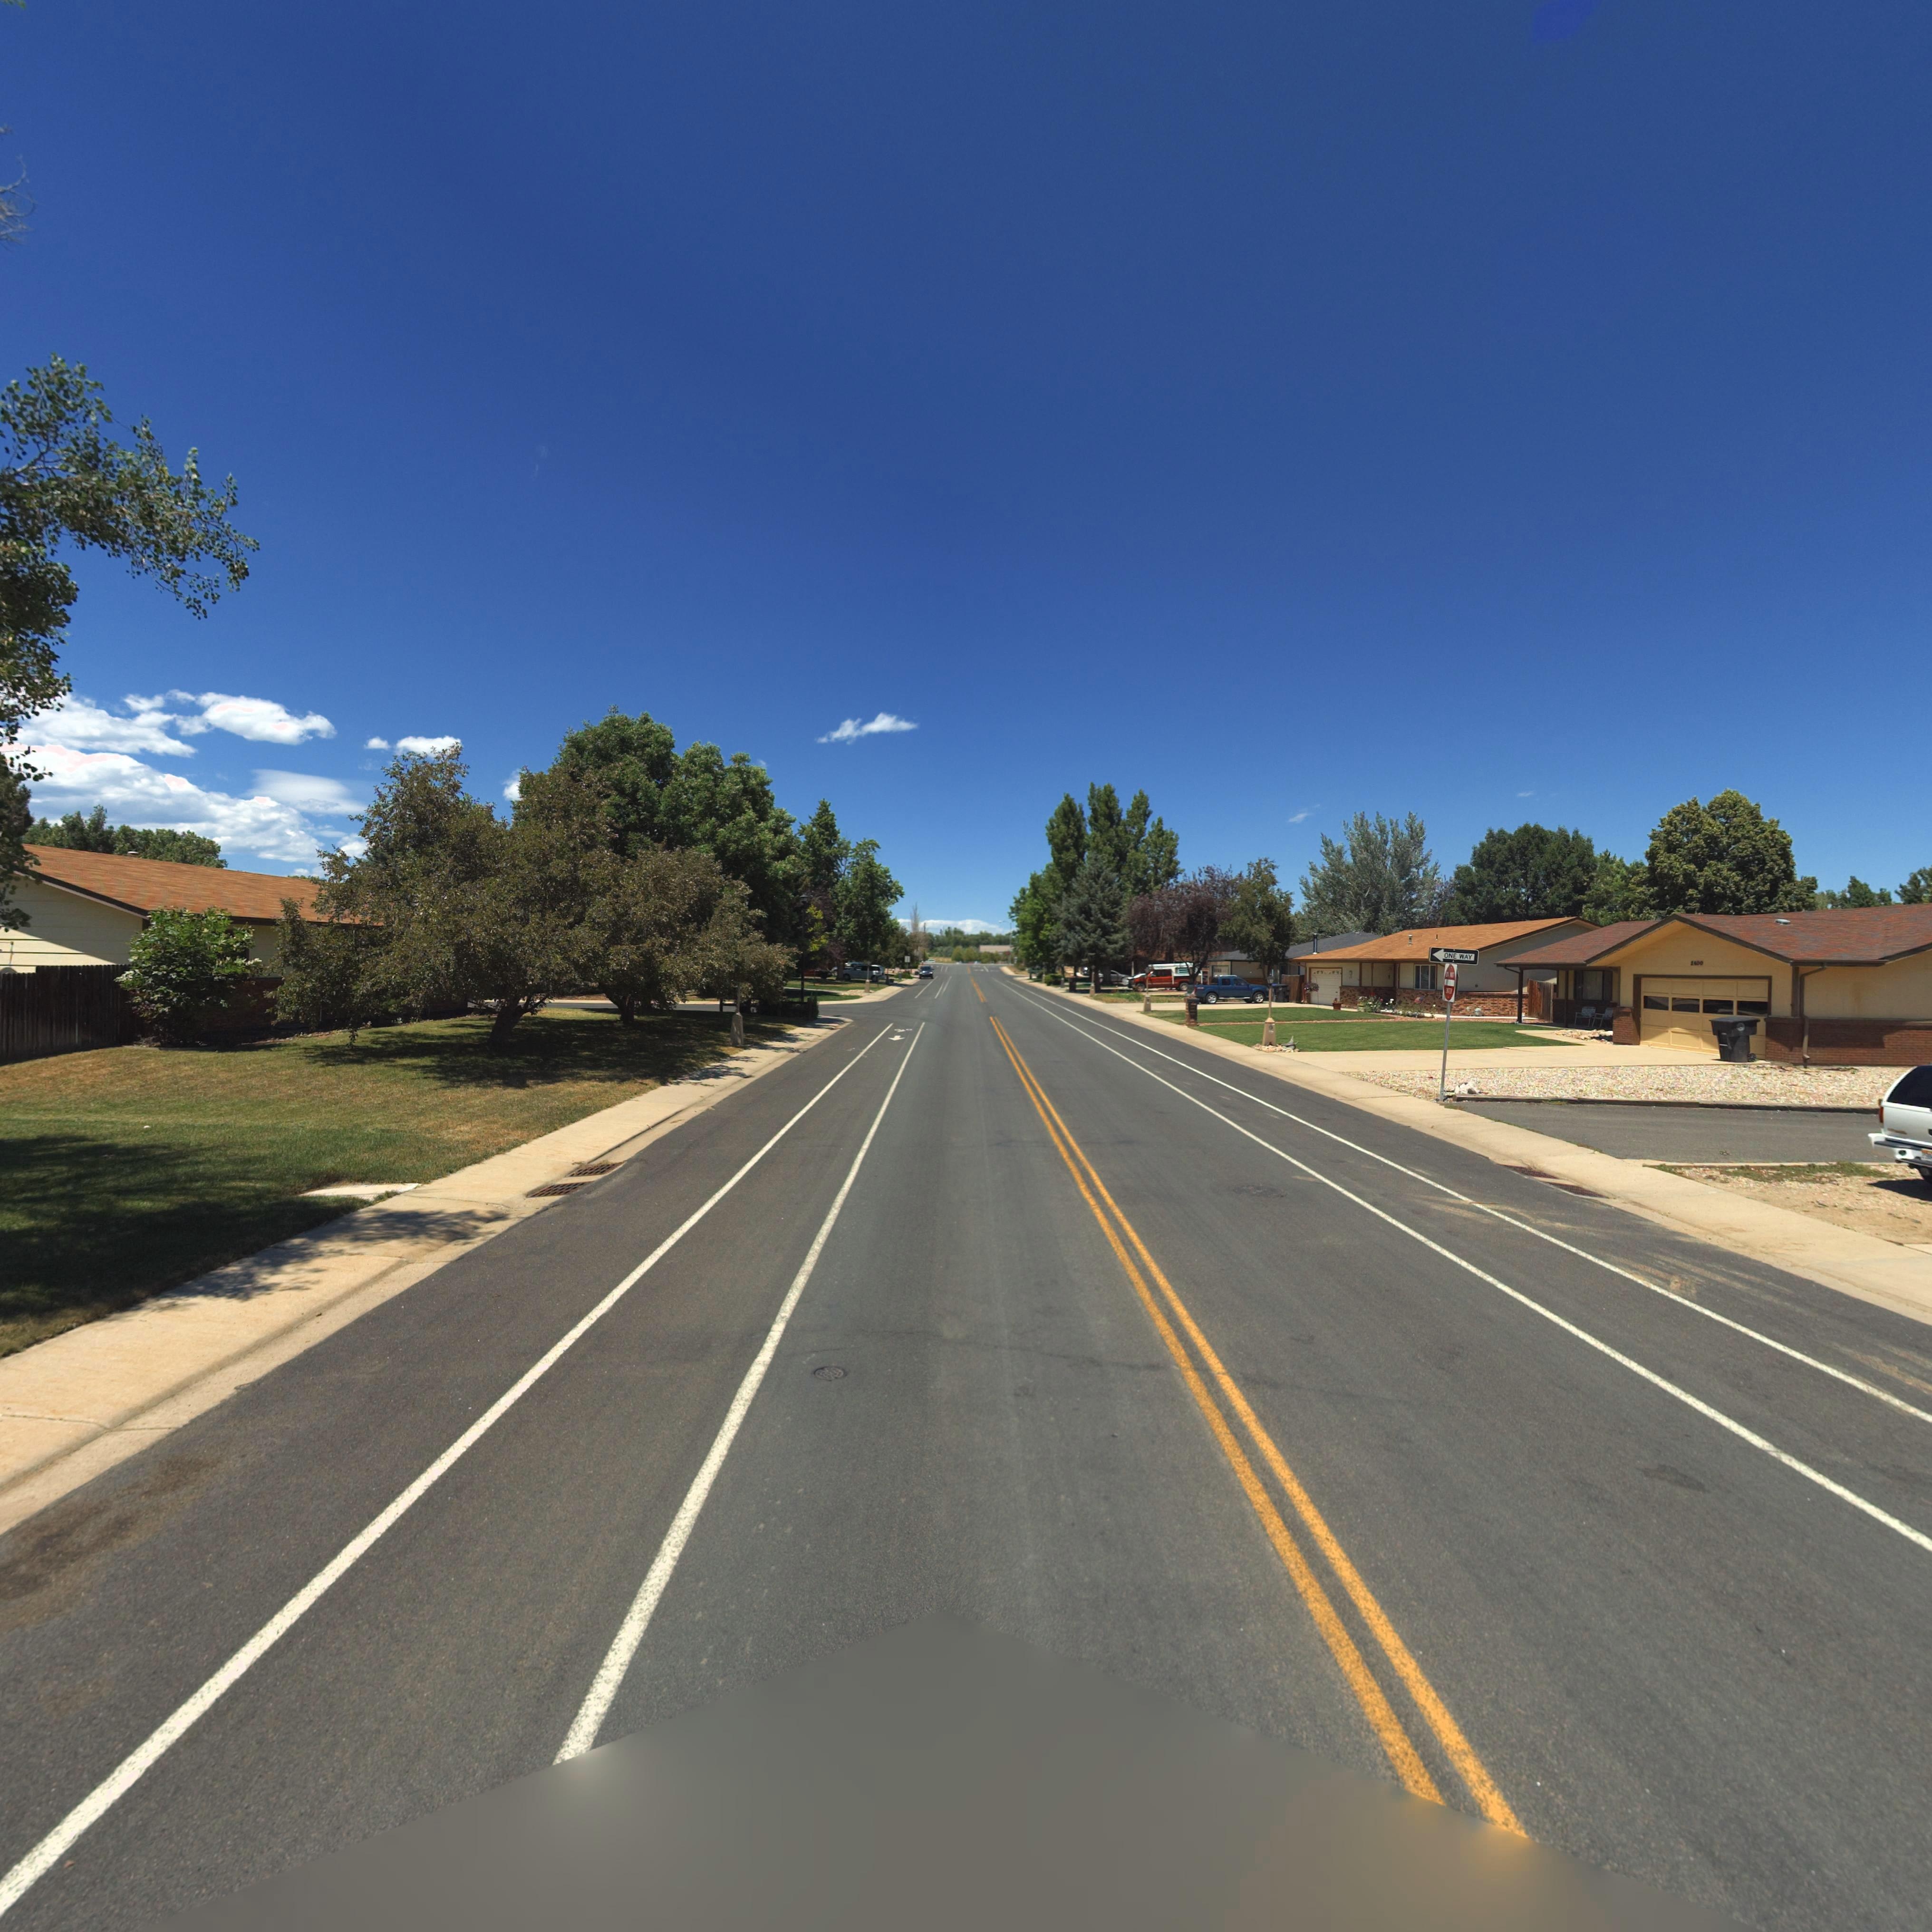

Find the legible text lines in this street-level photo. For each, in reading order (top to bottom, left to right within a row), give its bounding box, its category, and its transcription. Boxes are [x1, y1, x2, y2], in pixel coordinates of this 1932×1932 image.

[1690, 960, 1703, 966] StreetNumber: 2400